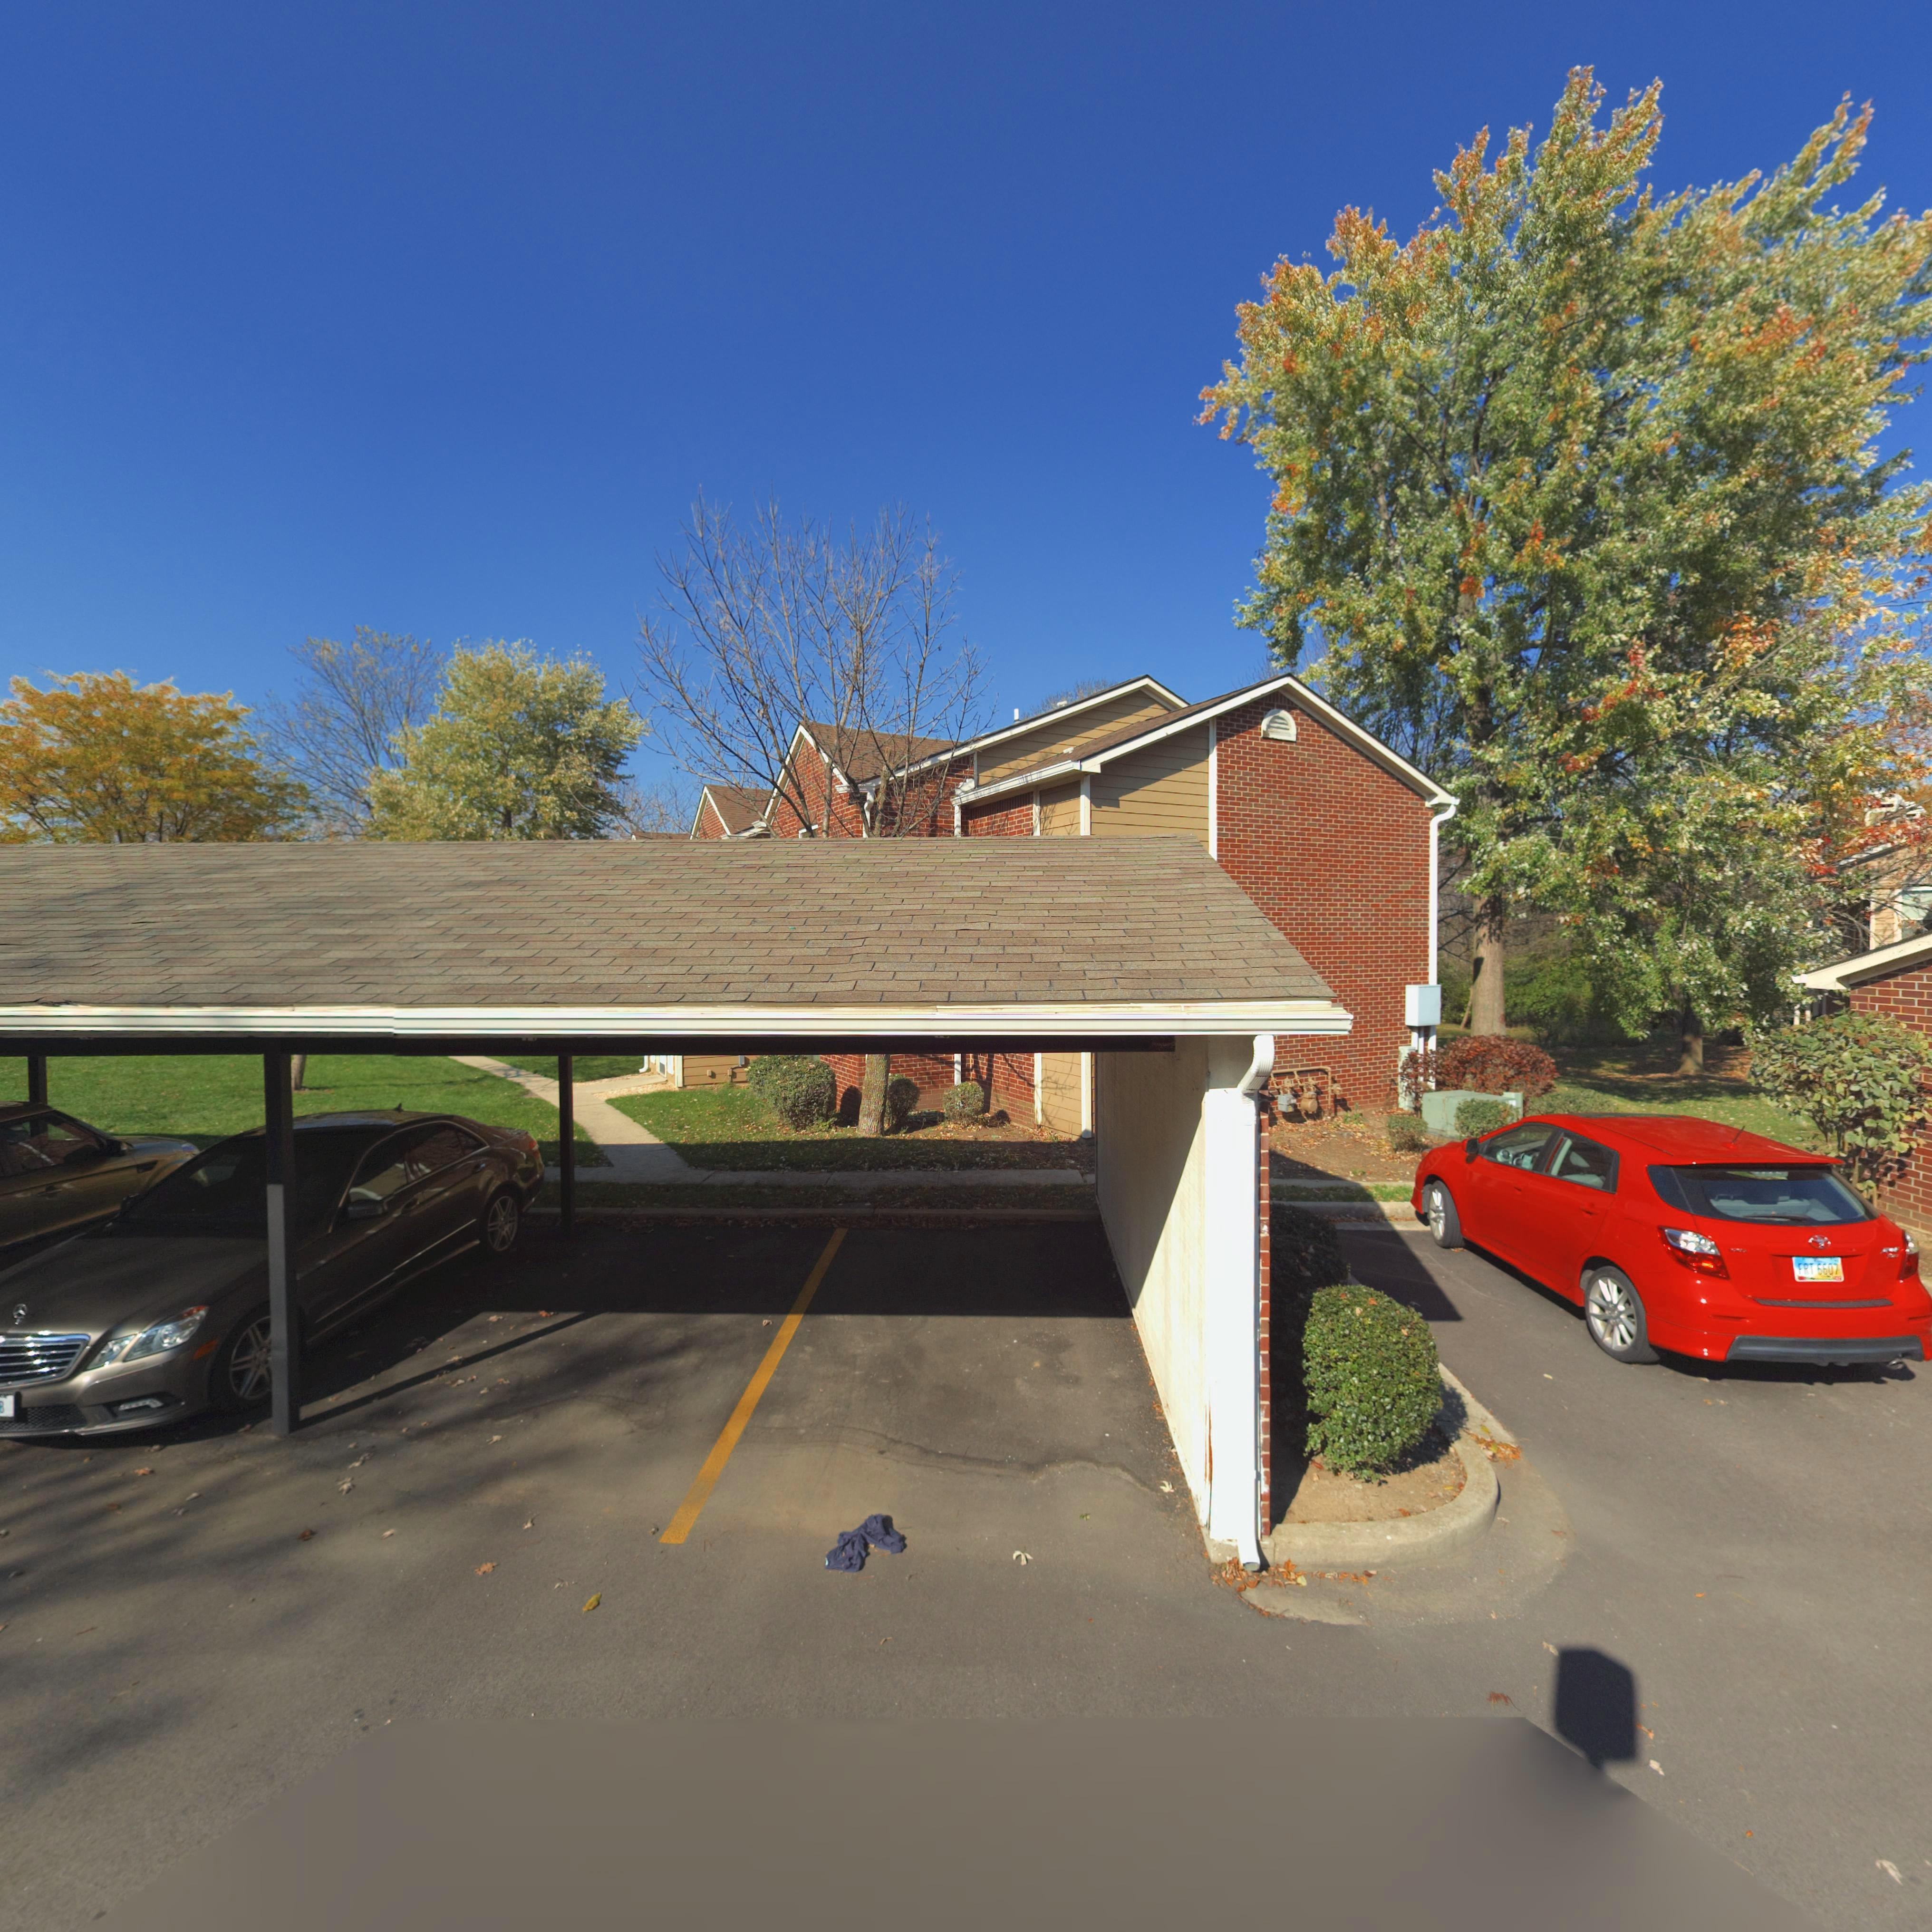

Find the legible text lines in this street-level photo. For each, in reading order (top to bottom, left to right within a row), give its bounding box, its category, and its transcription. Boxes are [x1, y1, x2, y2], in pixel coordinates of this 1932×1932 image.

[1797, 1261, 1840, 1277] None: FRT 6607